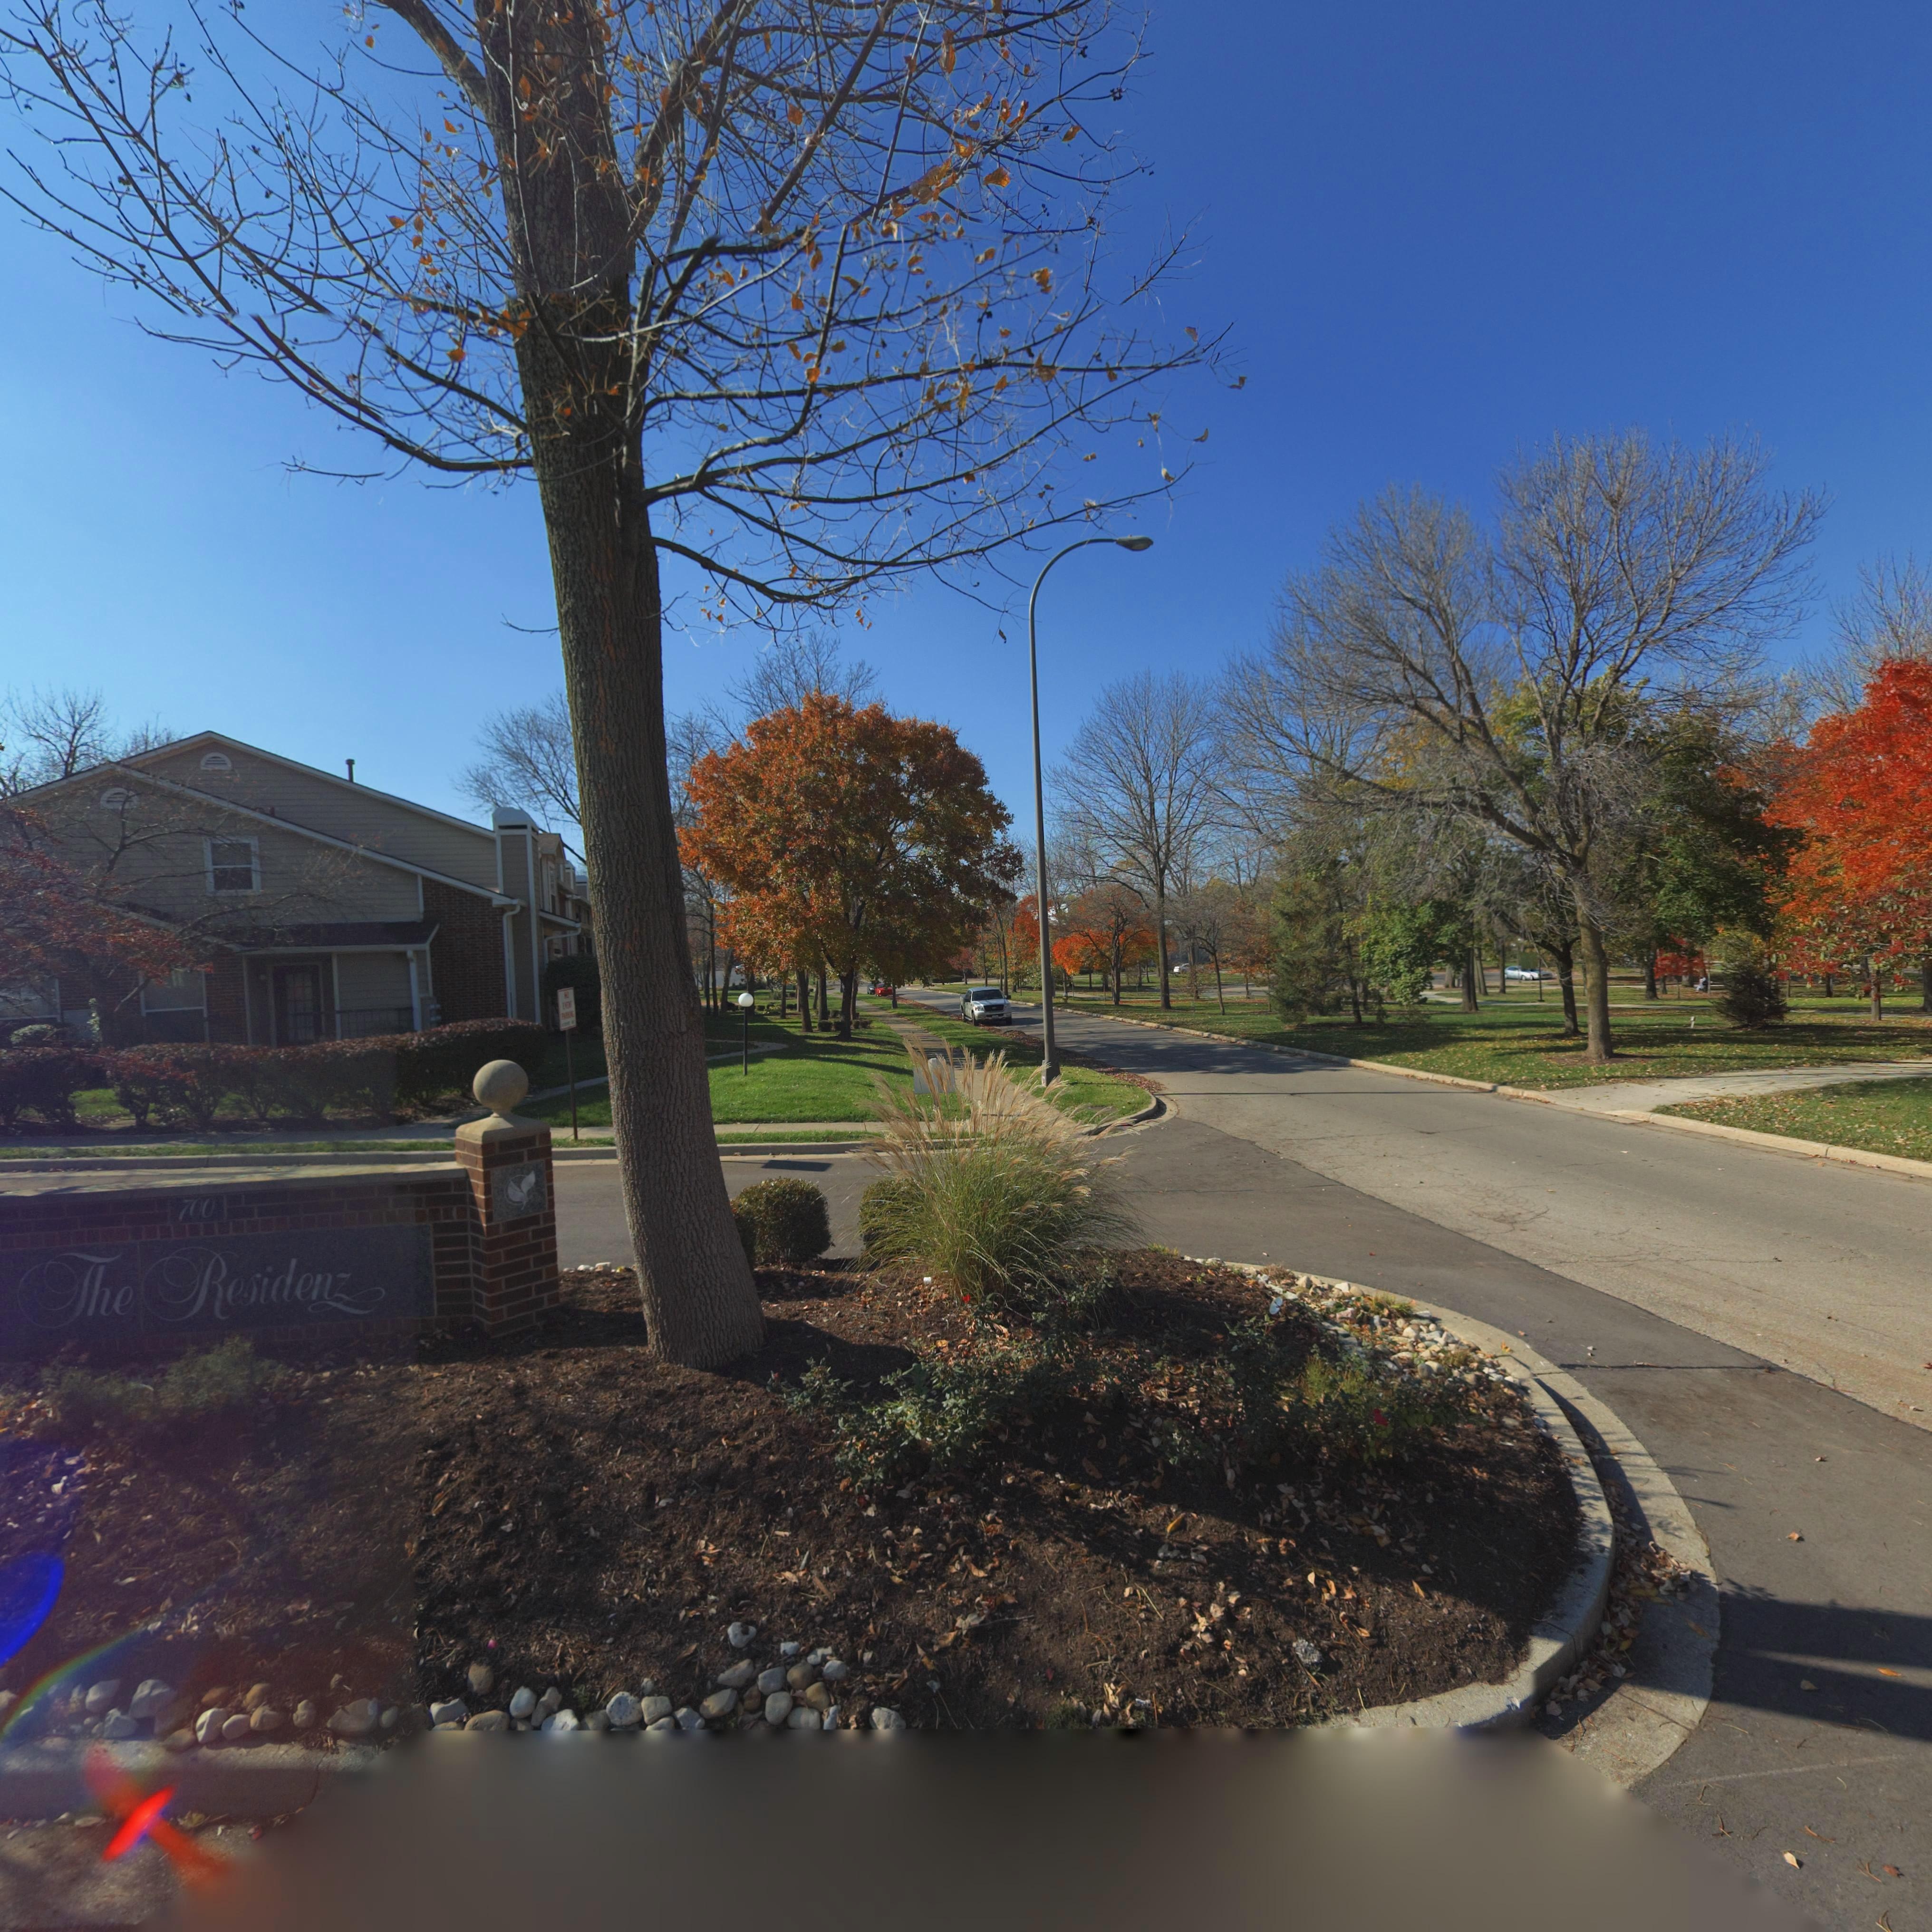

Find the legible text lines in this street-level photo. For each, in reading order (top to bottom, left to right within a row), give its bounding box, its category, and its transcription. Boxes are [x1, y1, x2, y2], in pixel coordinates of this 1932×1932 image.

[173, 1194, 220, 1223] StreetNumber: 700
[10, 1240, 390, 1335] None: The Residenz